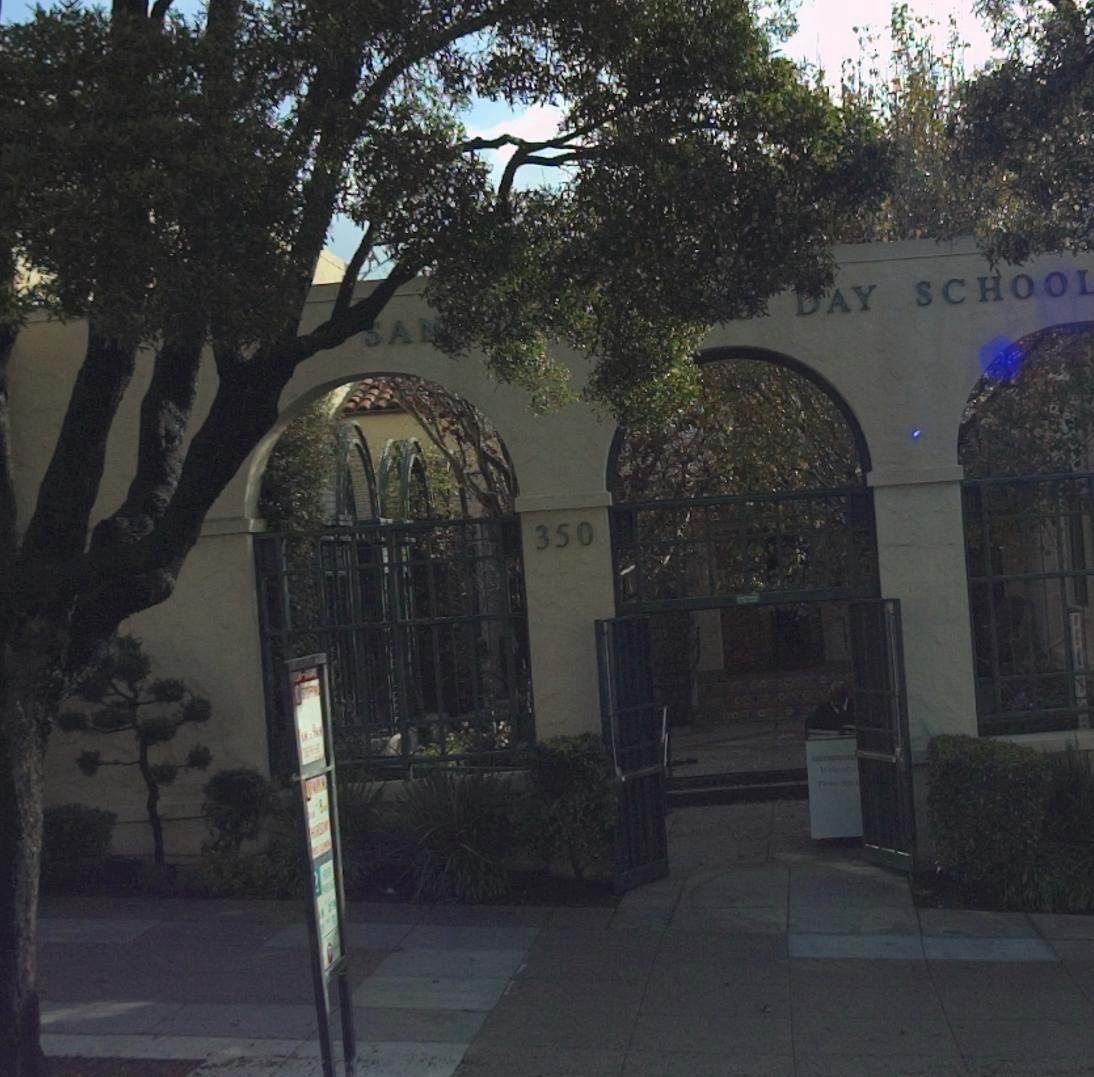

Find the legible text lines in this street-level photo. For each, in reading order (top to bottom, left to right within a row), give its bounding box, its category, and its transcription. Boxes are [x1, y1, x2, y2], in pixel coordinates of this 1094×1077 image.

[825, 268, 1071, 316] BusinessName: AY SCHOO
[385, 317, 415, 347] BusinessName: A
[531, 517, 597, 554] StreetNumber: 350